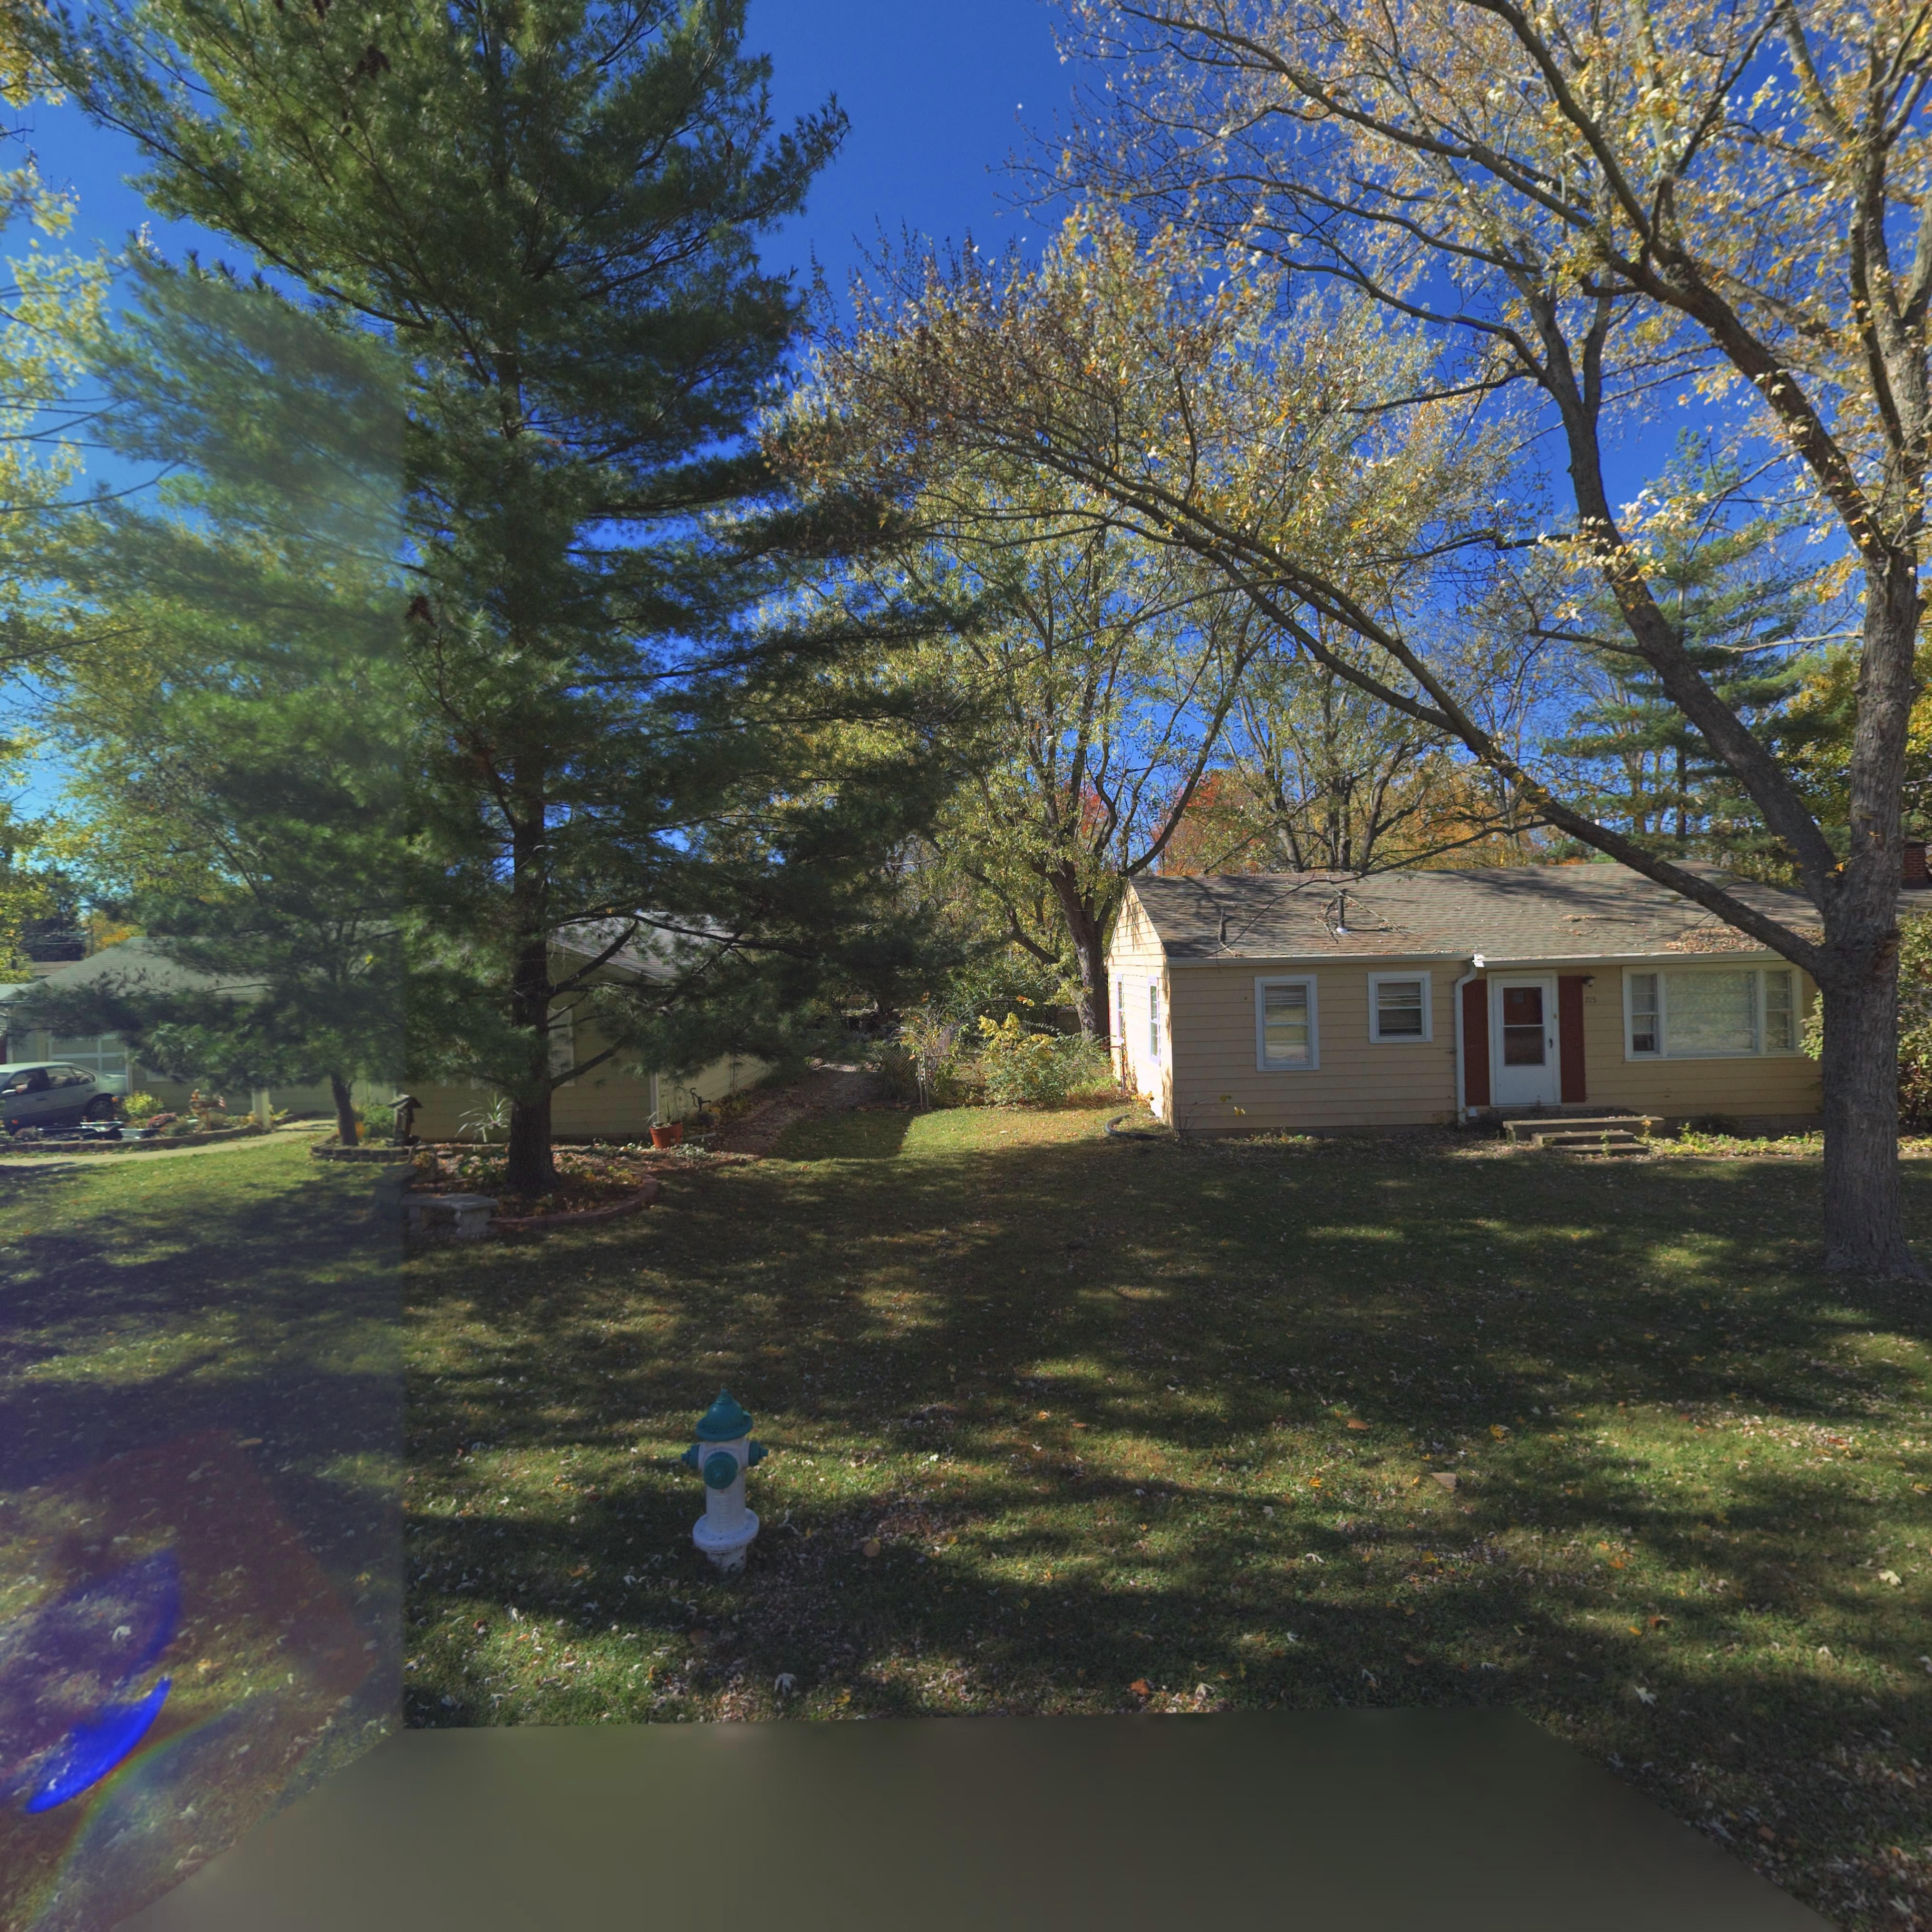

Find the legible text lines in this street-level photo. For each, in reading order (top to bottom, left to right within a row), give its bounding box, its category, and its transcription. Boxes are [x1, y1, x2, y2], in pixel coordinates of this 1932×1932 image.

[1584, 996, 1596, 1004] StreetNumber: 715